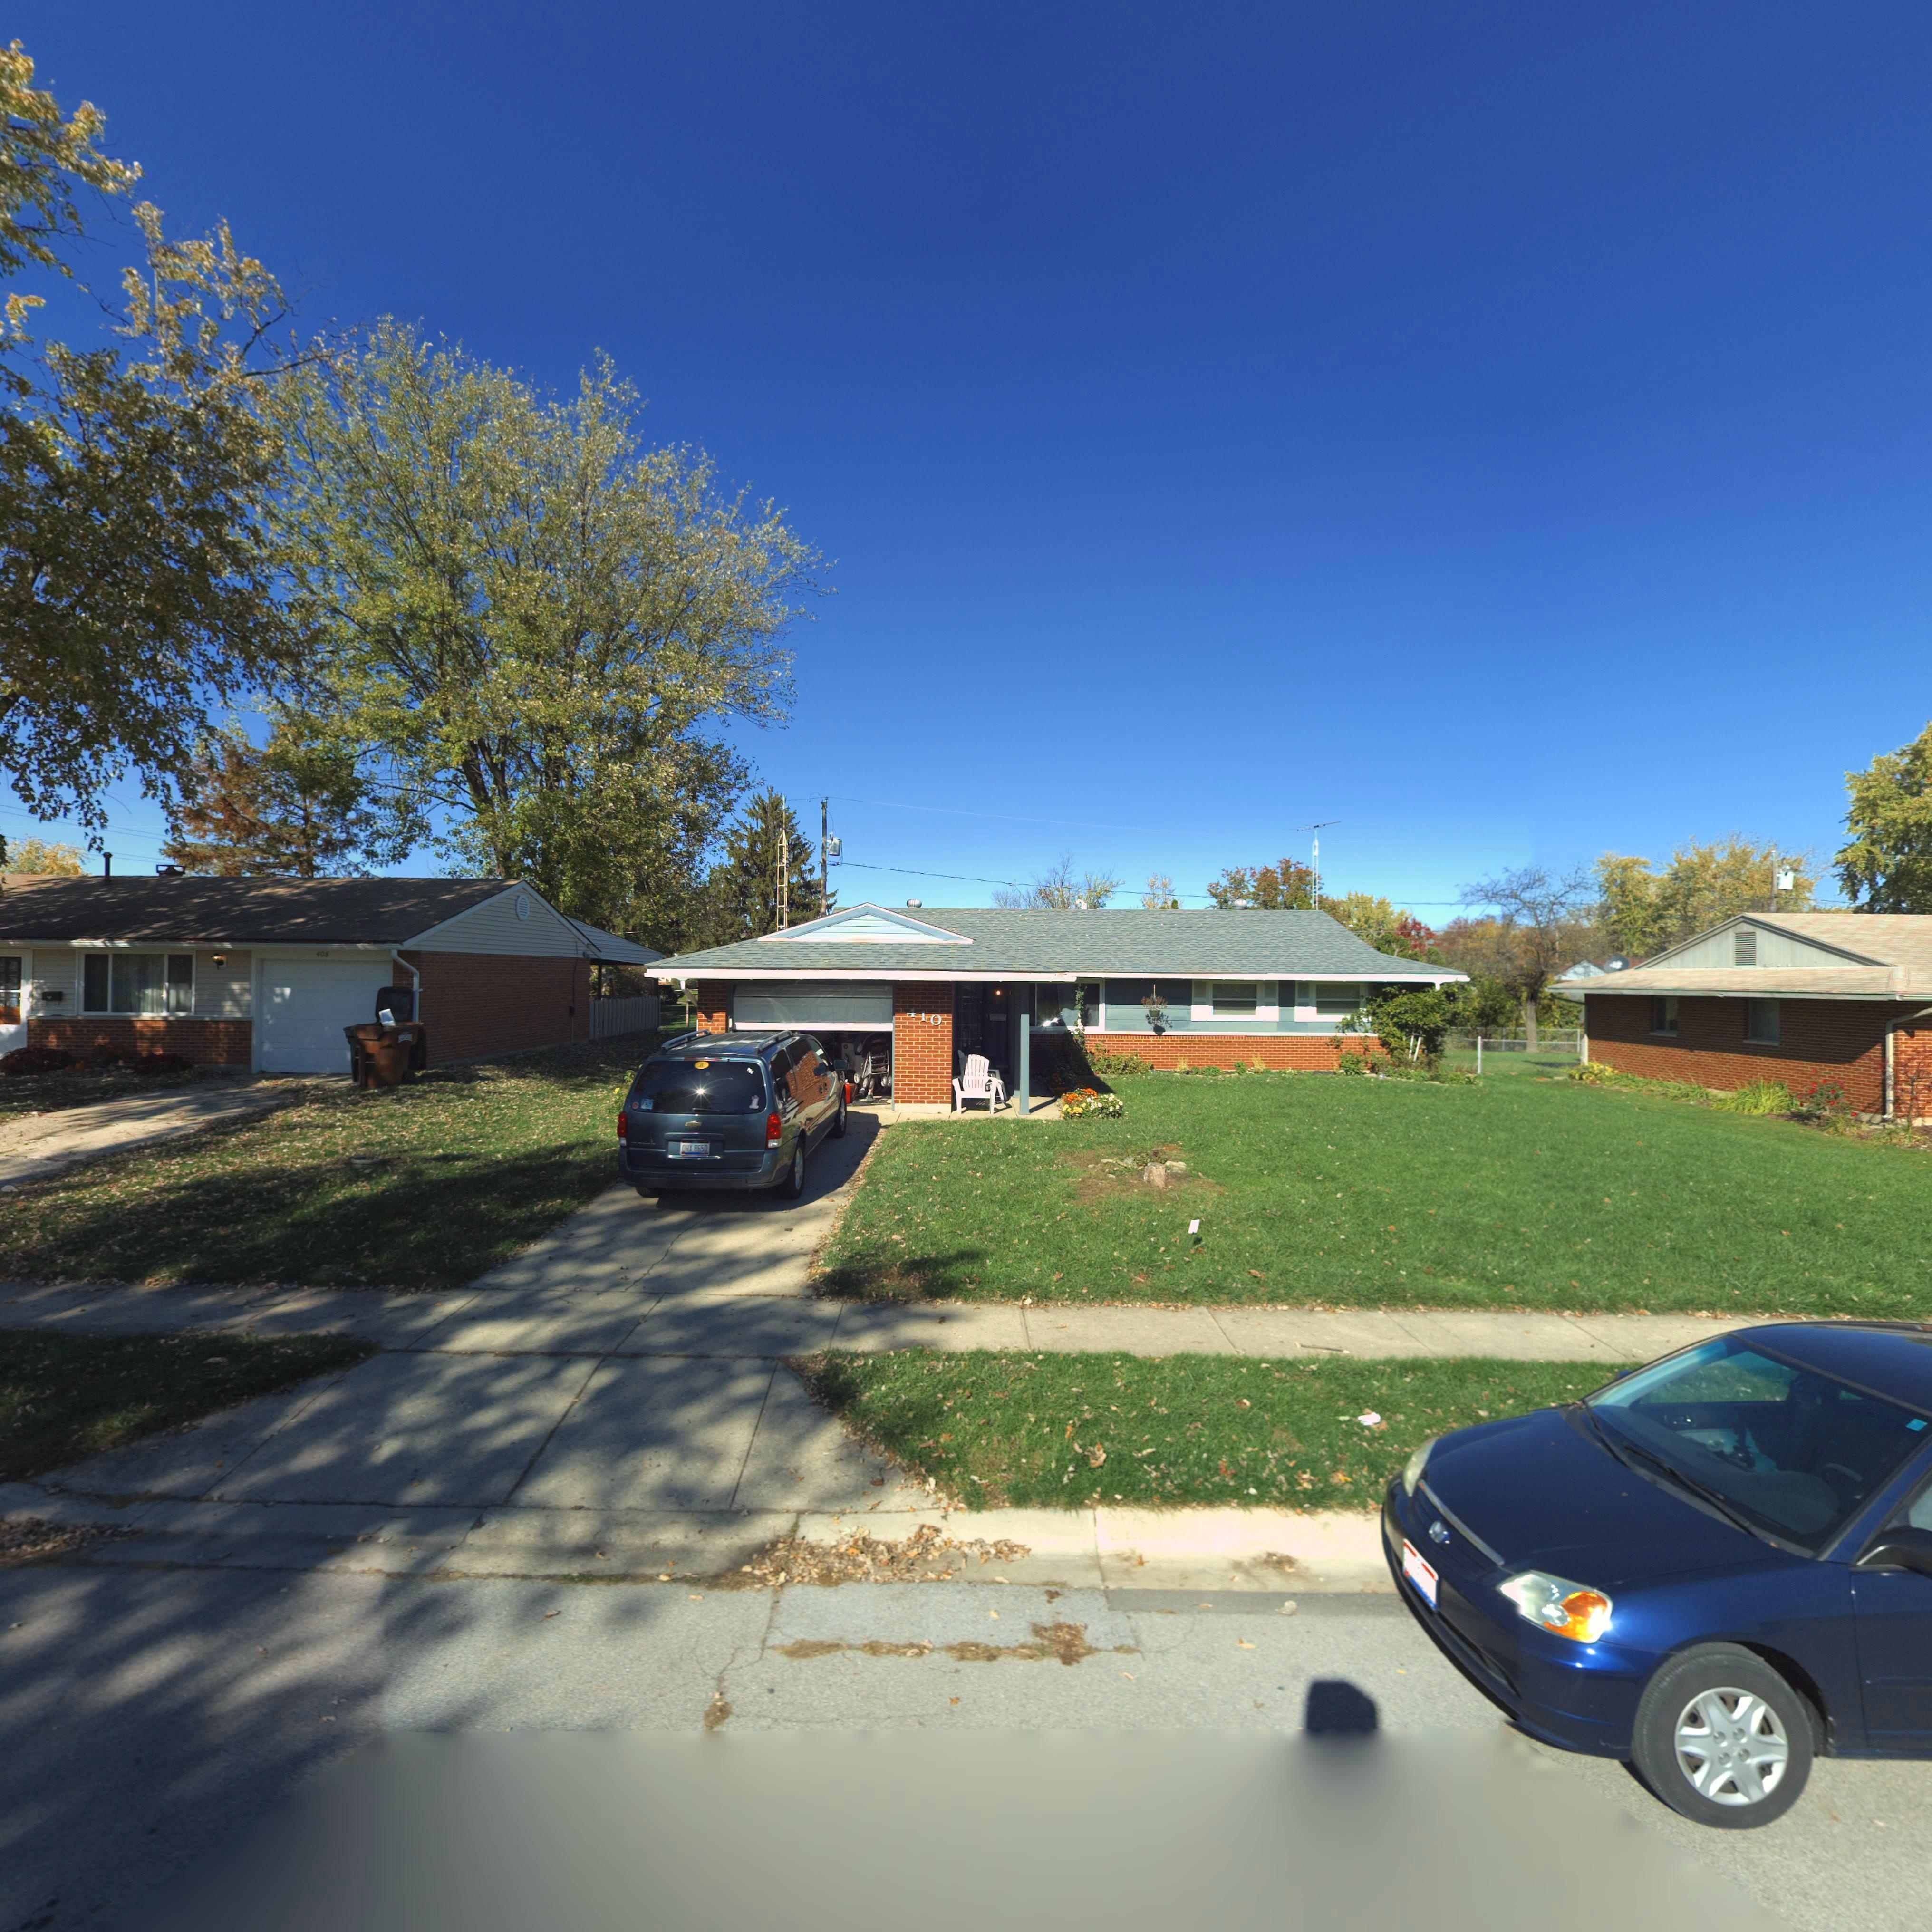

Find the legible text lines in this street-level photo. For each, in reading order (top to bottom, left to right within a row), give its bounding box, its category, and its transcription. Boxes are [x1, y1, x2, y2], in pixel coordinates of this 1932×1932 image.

[315, 950, 330, 958] StreetNumber: 408
[906, 1006, 943, 1027] StreetNumber: 410